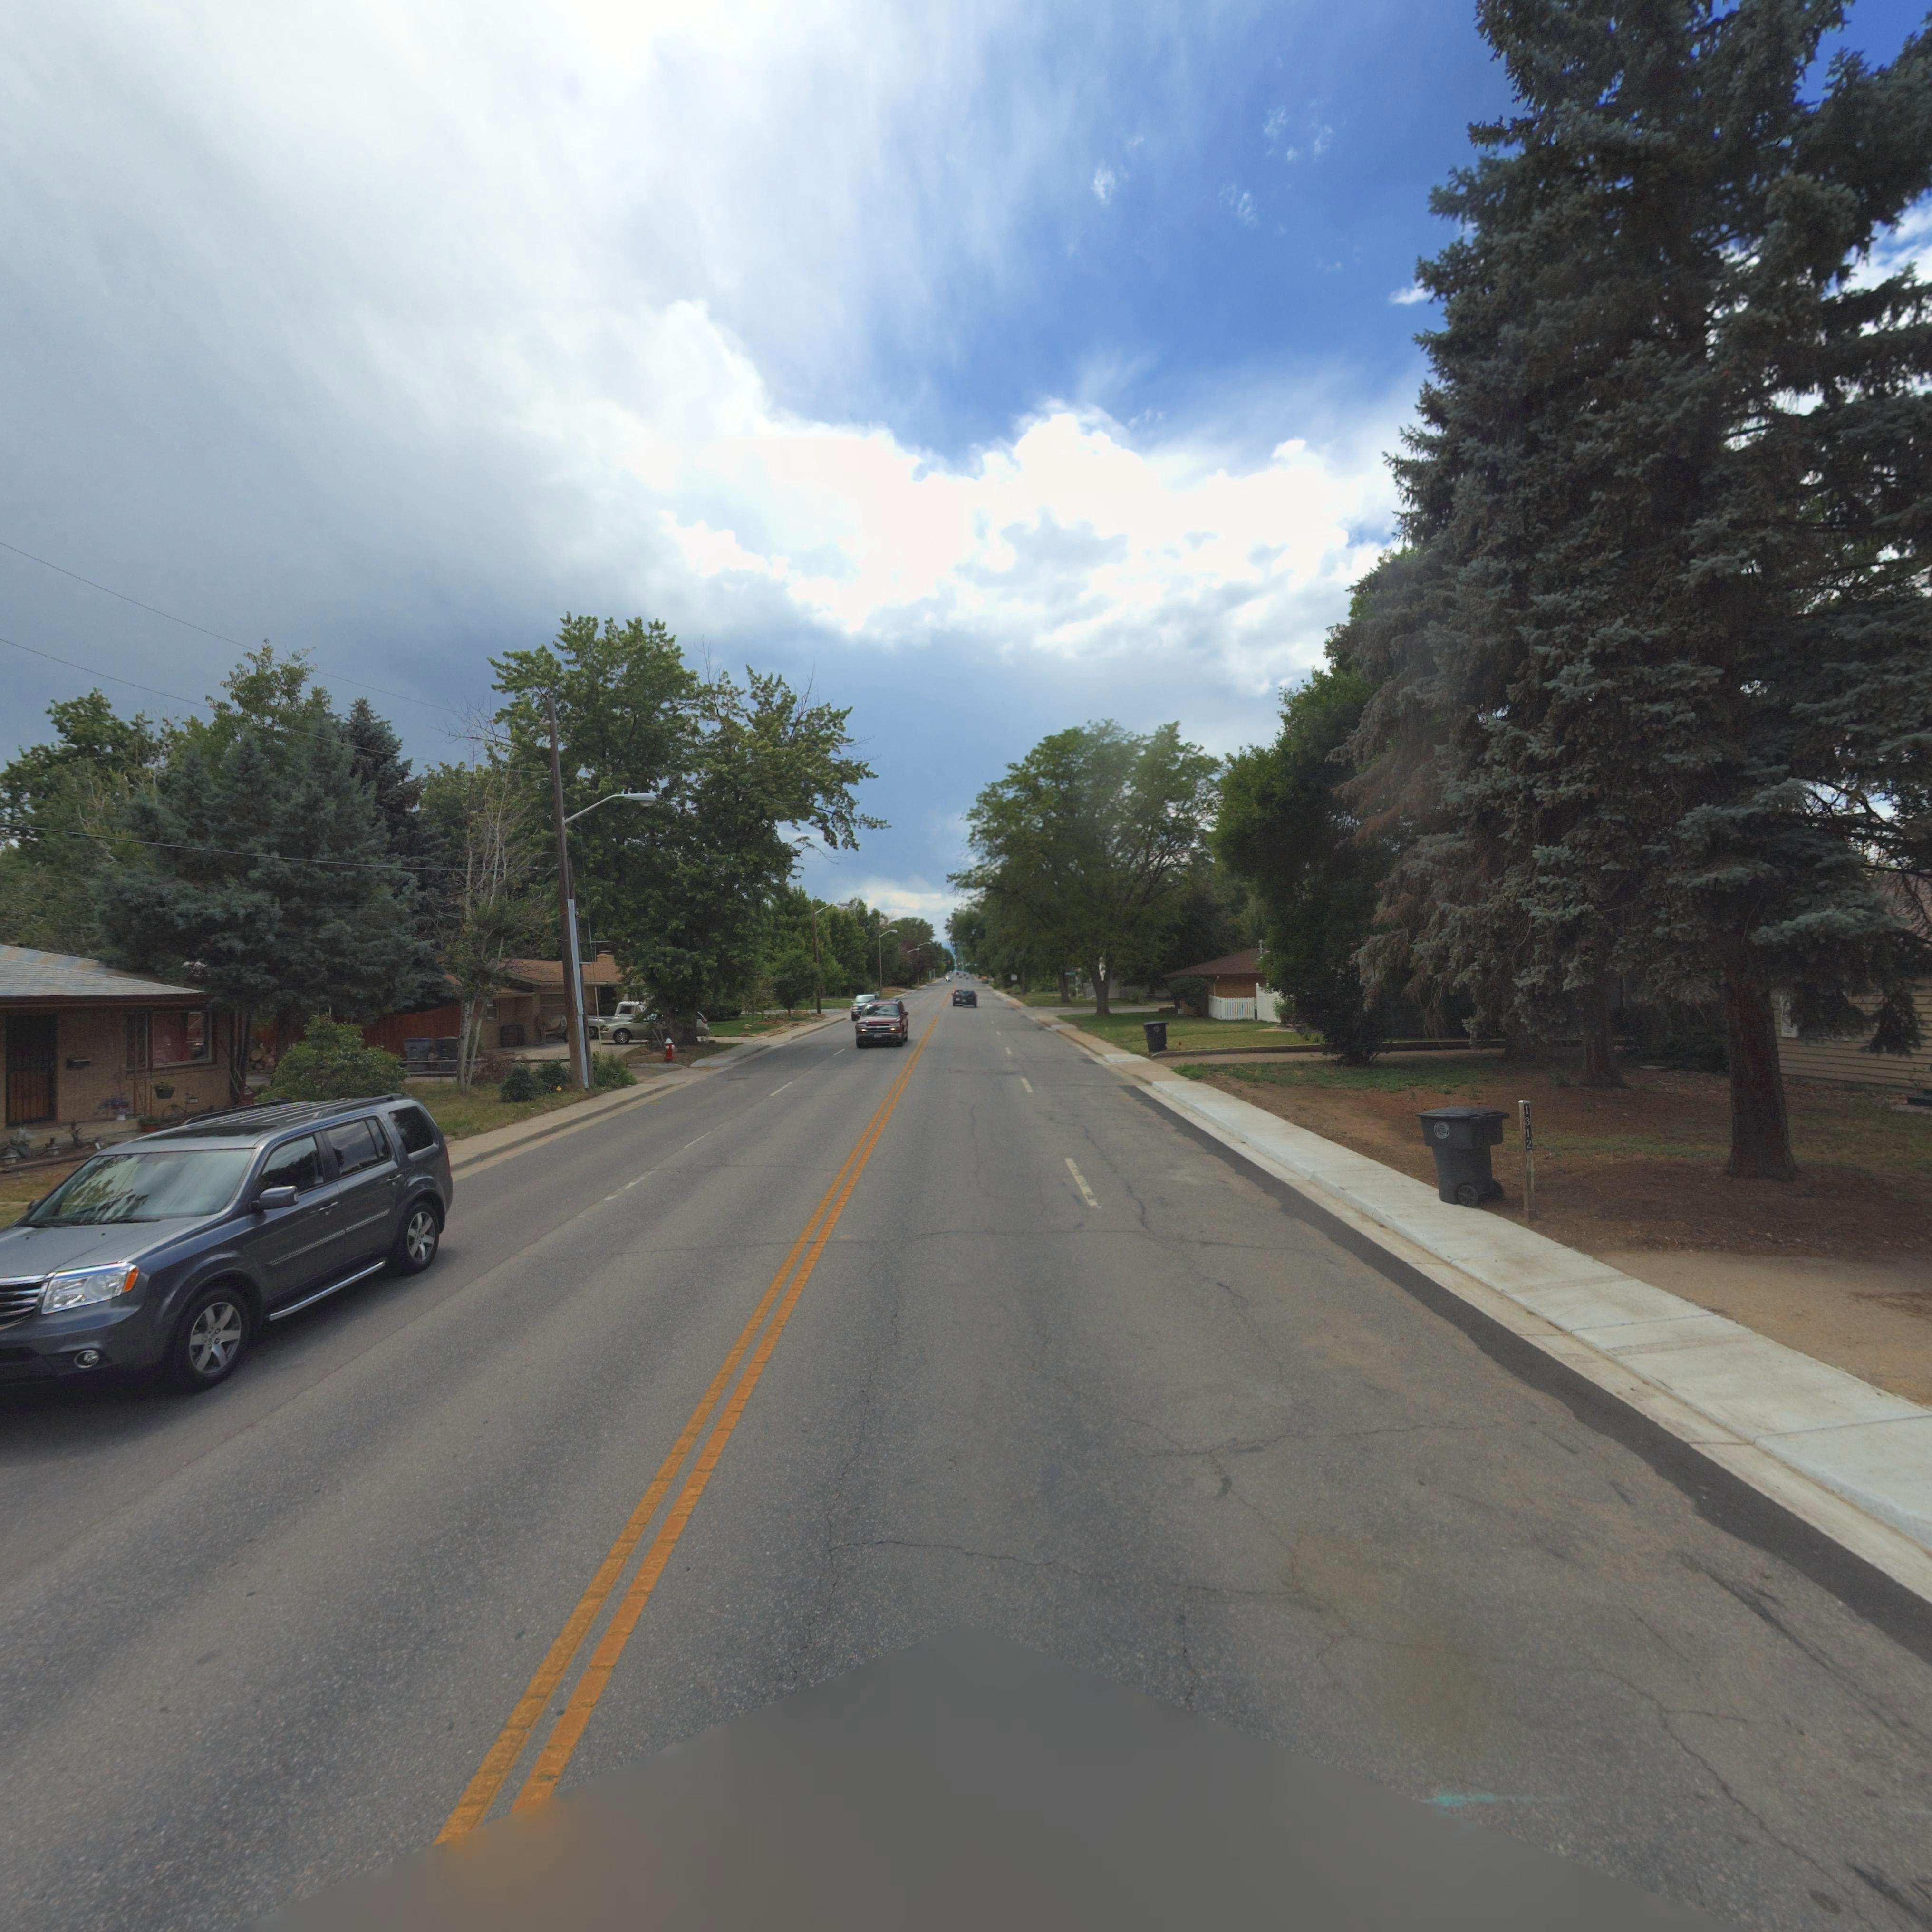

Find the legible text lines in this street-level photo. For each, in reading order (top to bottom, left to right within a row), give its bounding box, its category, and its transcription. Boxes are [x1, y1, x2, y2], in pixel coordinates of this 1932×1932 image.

[1524, 1105, 1533, 1149] StreetNumber: 1312